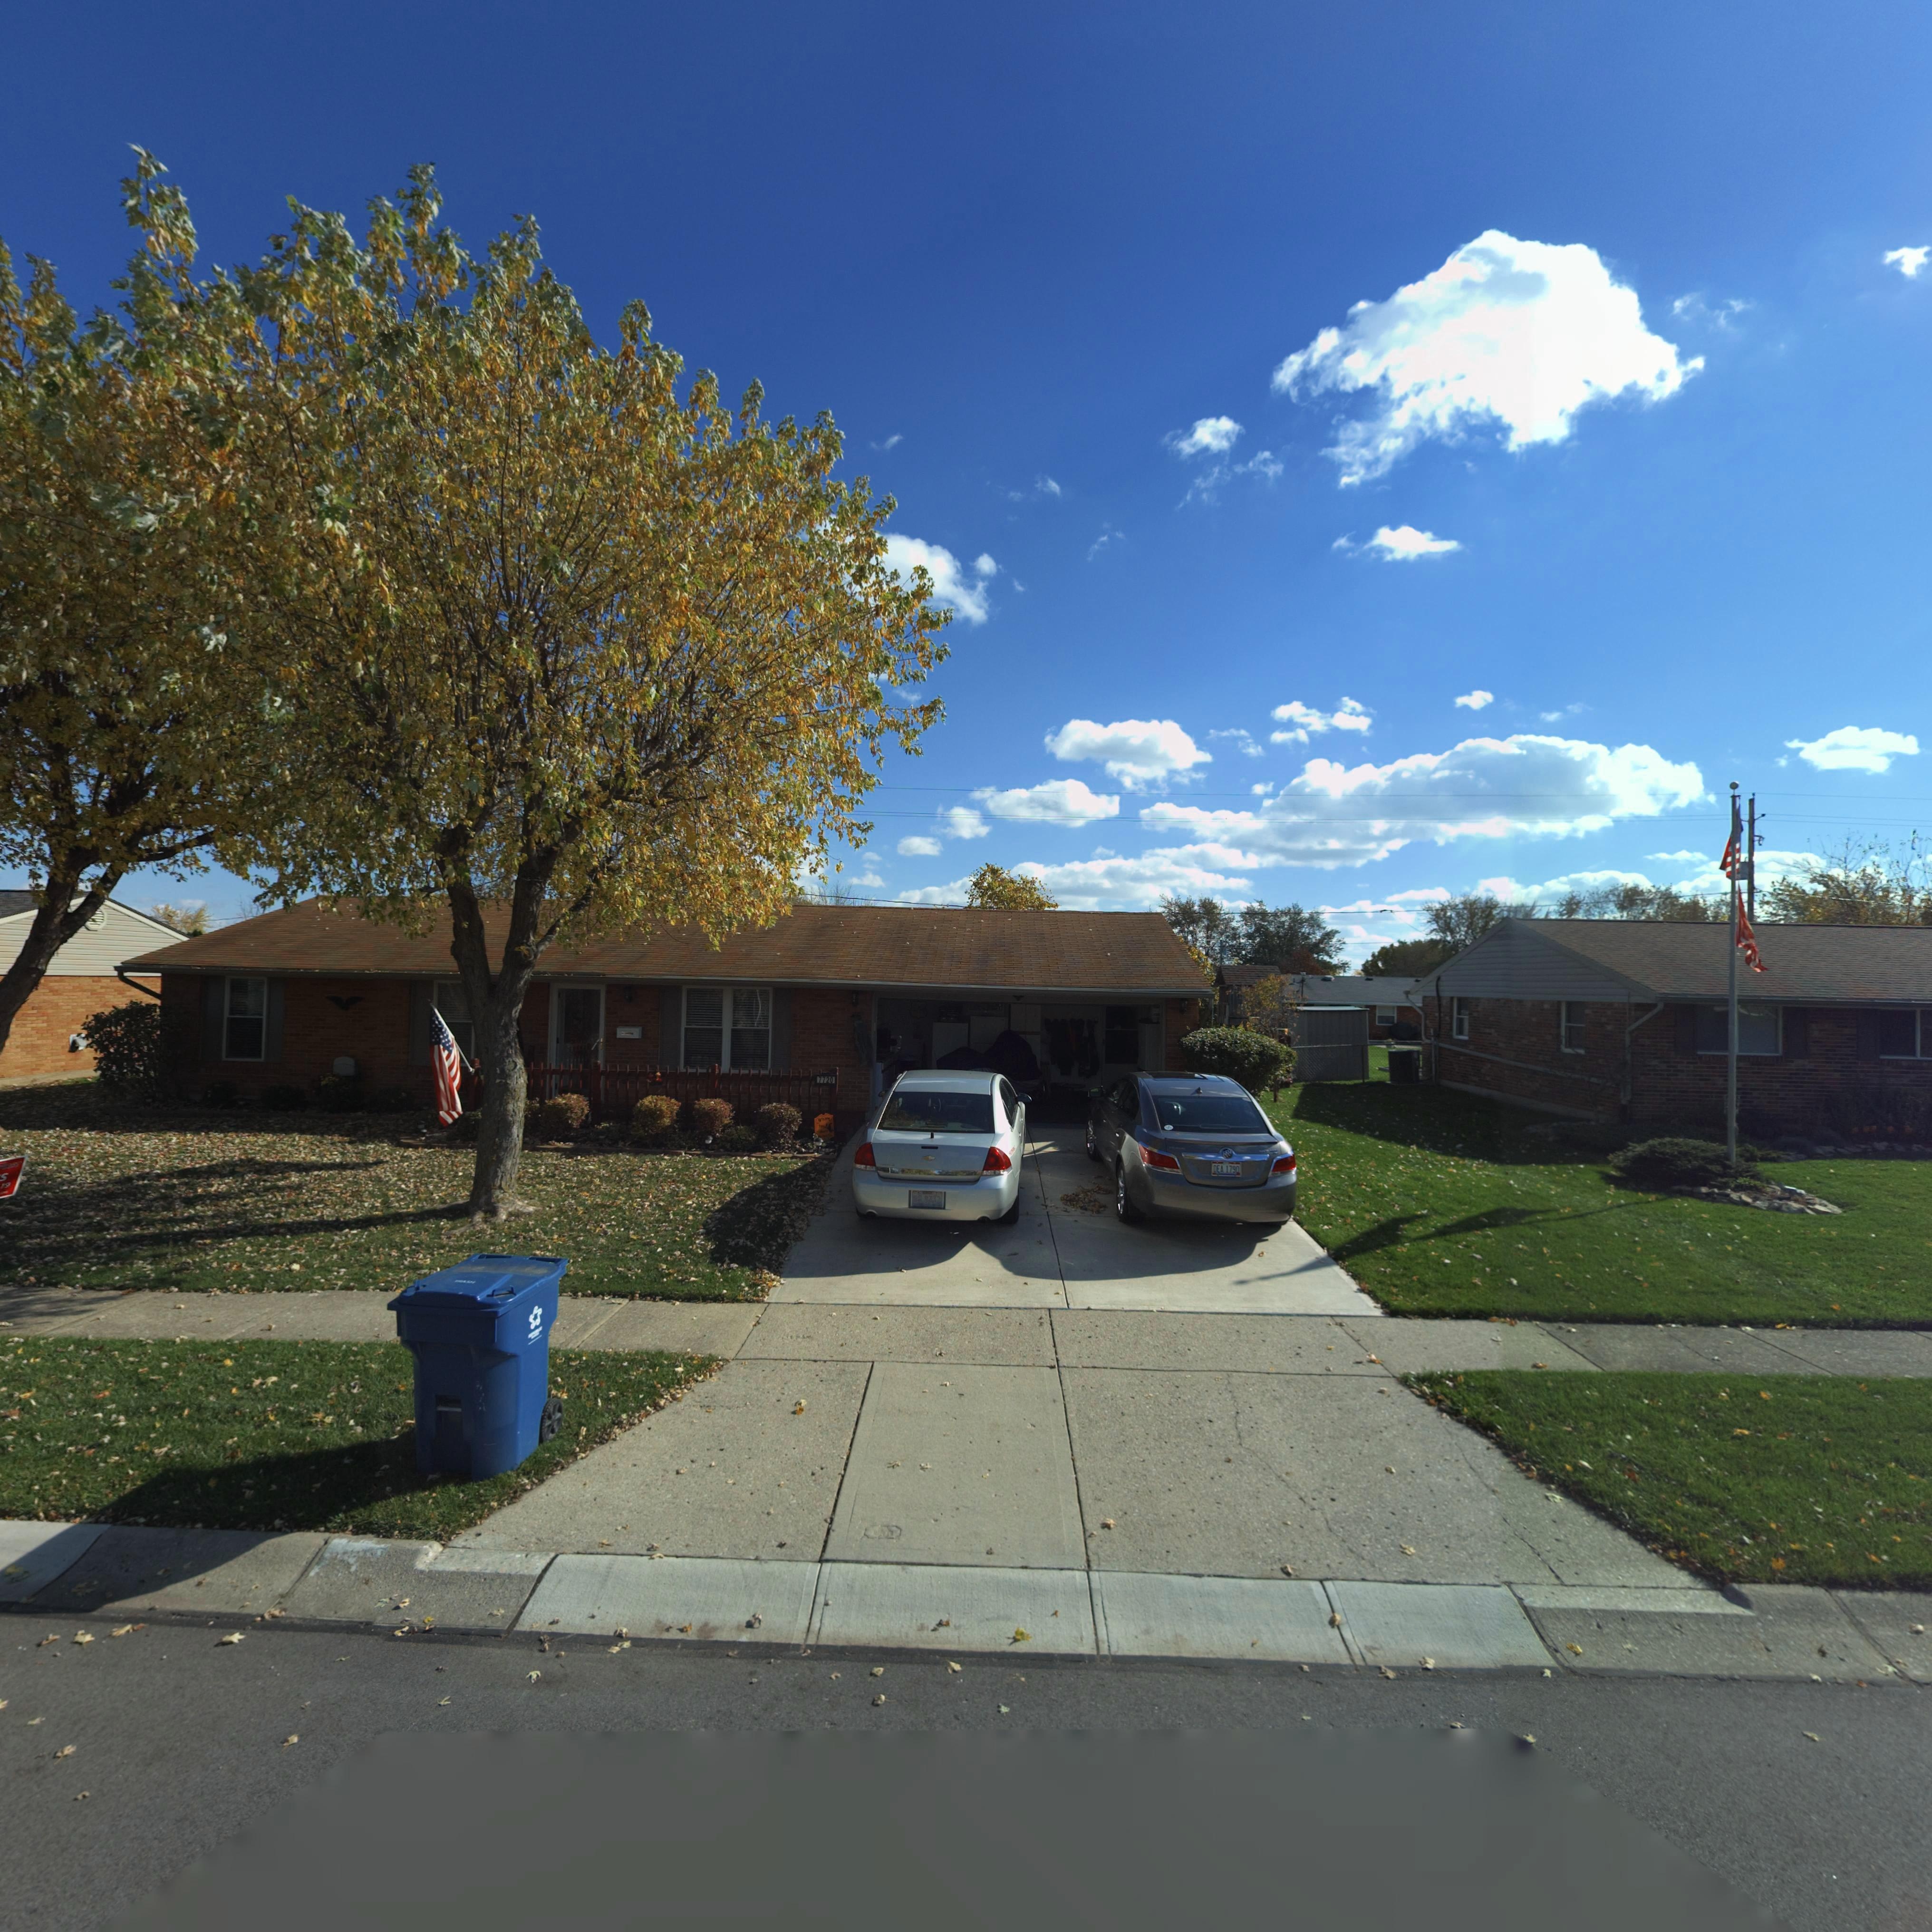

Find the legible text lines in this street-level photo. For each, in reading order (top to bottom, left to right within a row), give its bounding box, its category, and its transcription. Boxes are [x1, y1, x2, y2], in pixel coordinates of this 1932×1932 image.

[817, 1075, 834, 1084] StreetNumber: 7720